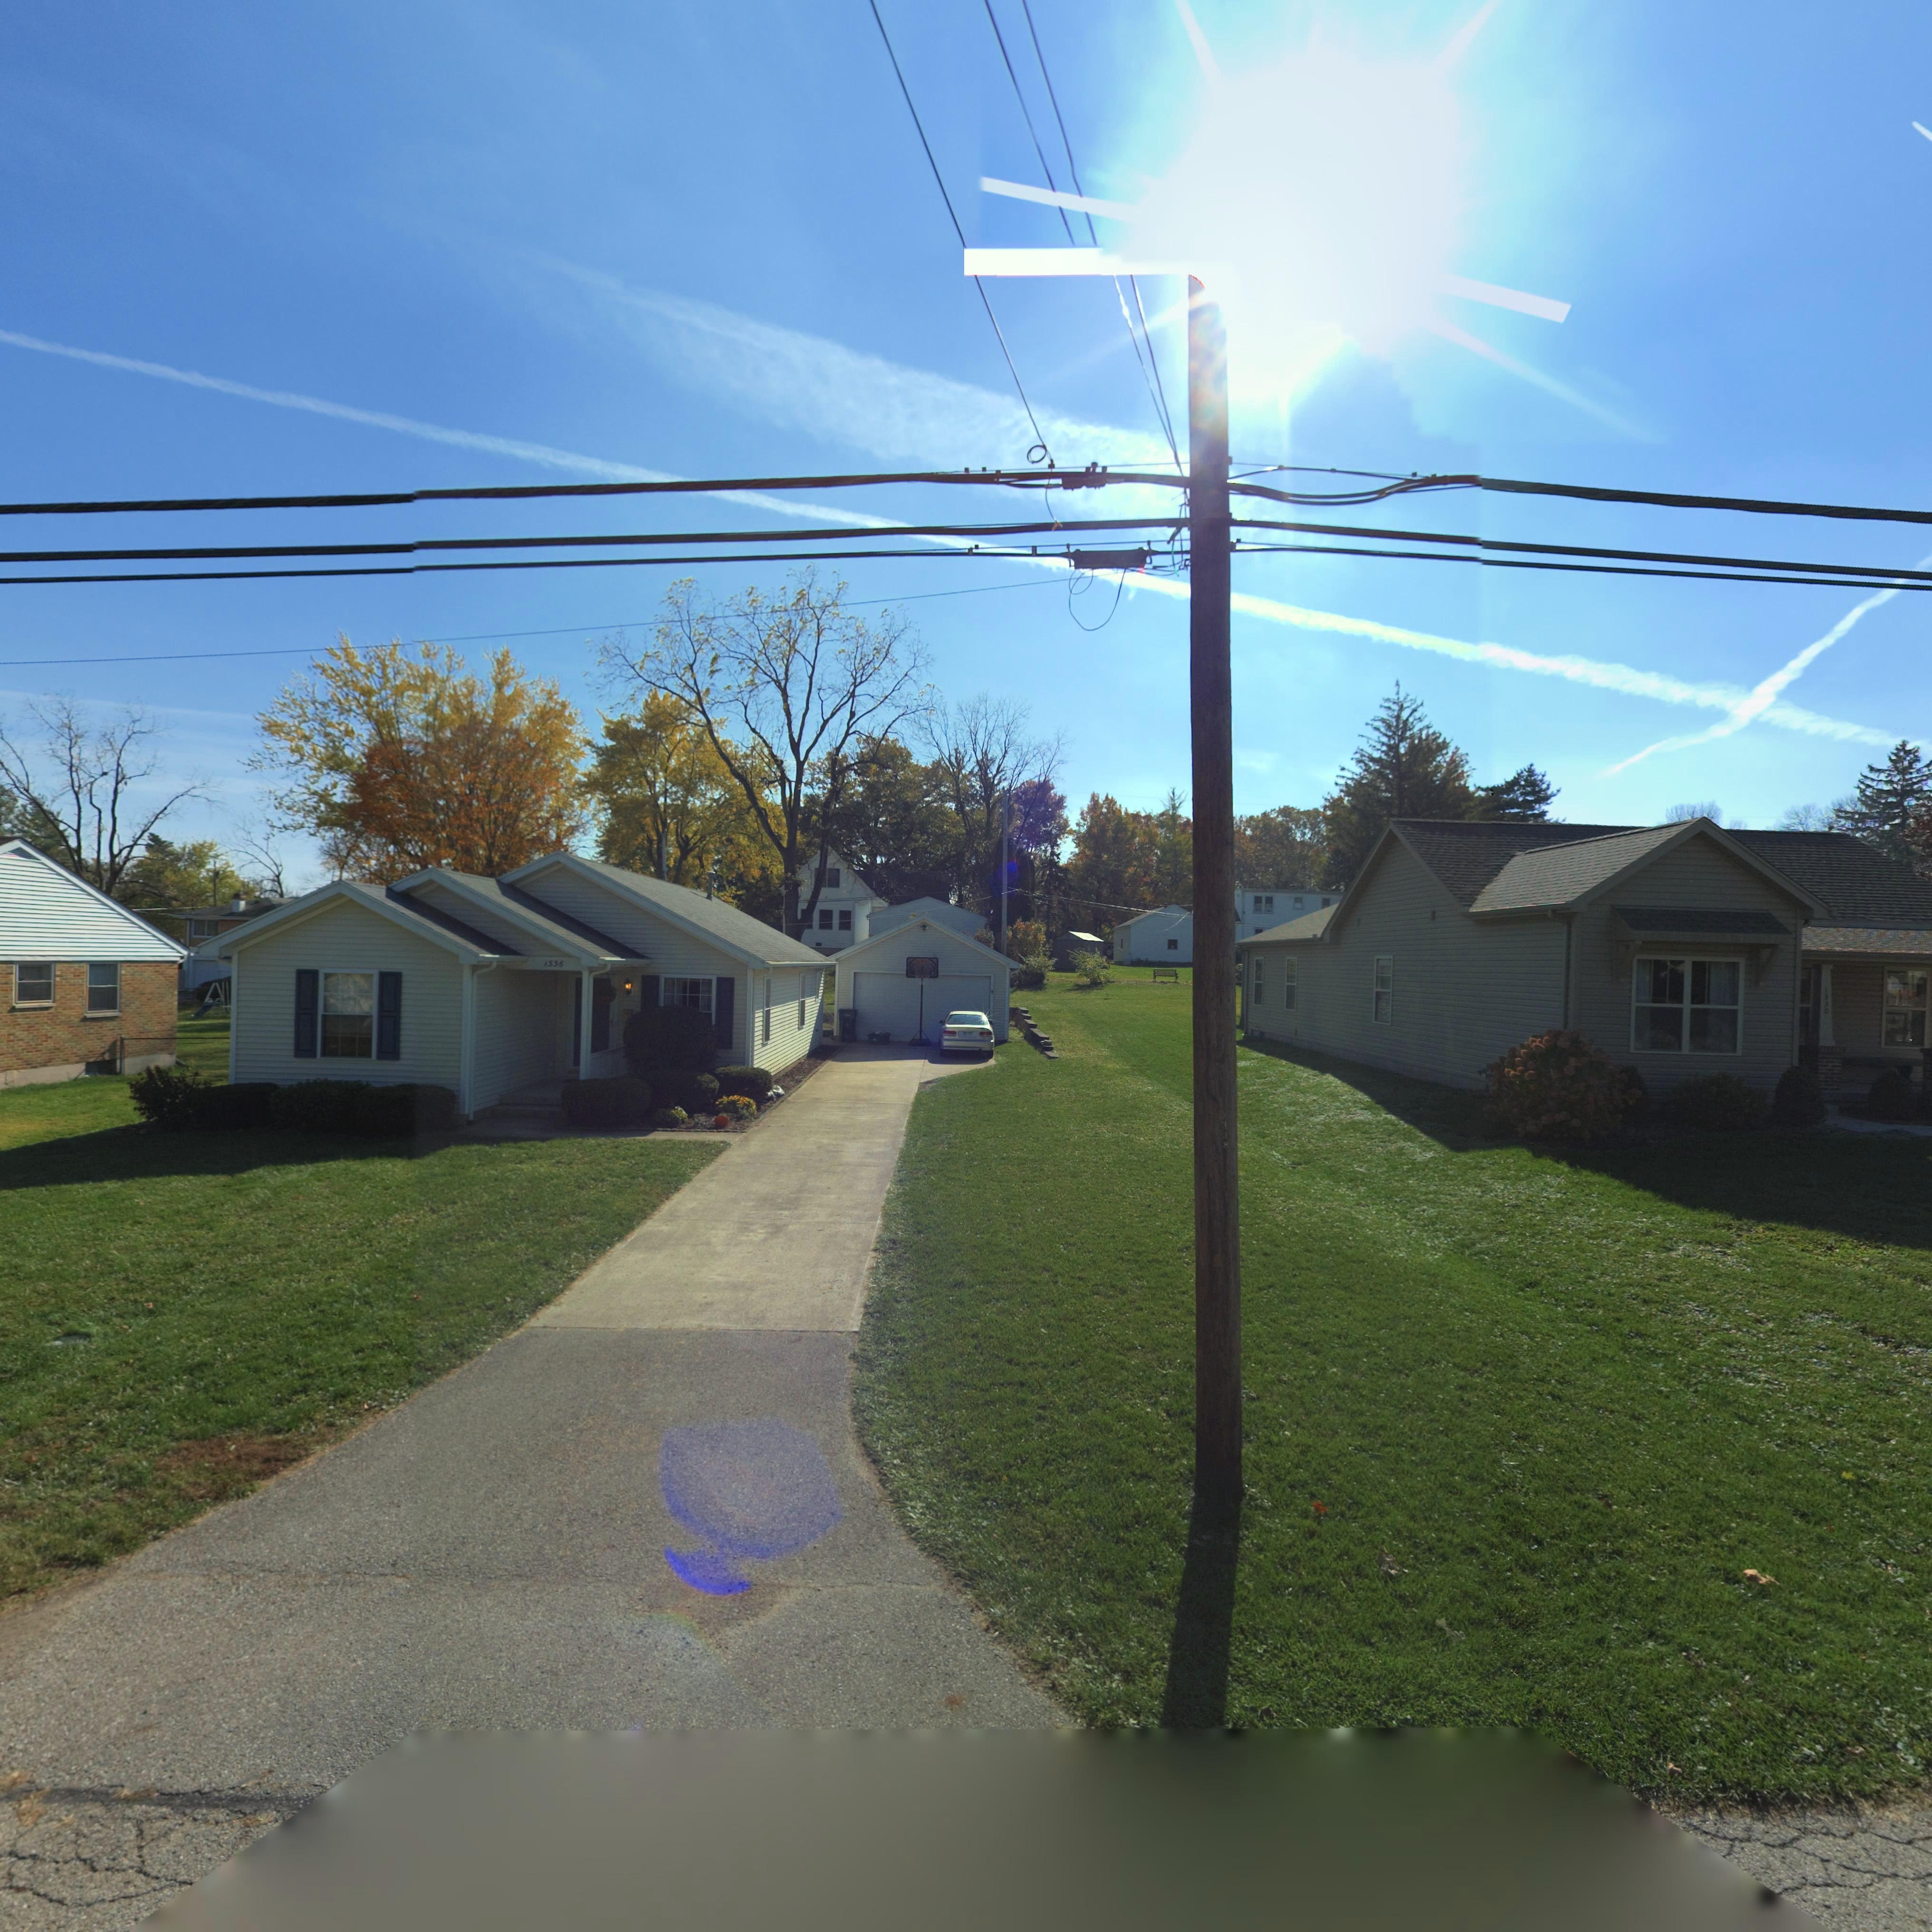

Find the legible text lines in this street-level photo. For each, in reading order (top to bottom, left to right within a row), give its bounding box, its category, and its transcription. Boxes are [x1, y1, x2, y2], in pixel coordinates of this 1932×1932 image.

[543, 959, 565, 968] StreetNumber: 1335
[1823, 985, 1829, 1014] StreetNumber: 1330